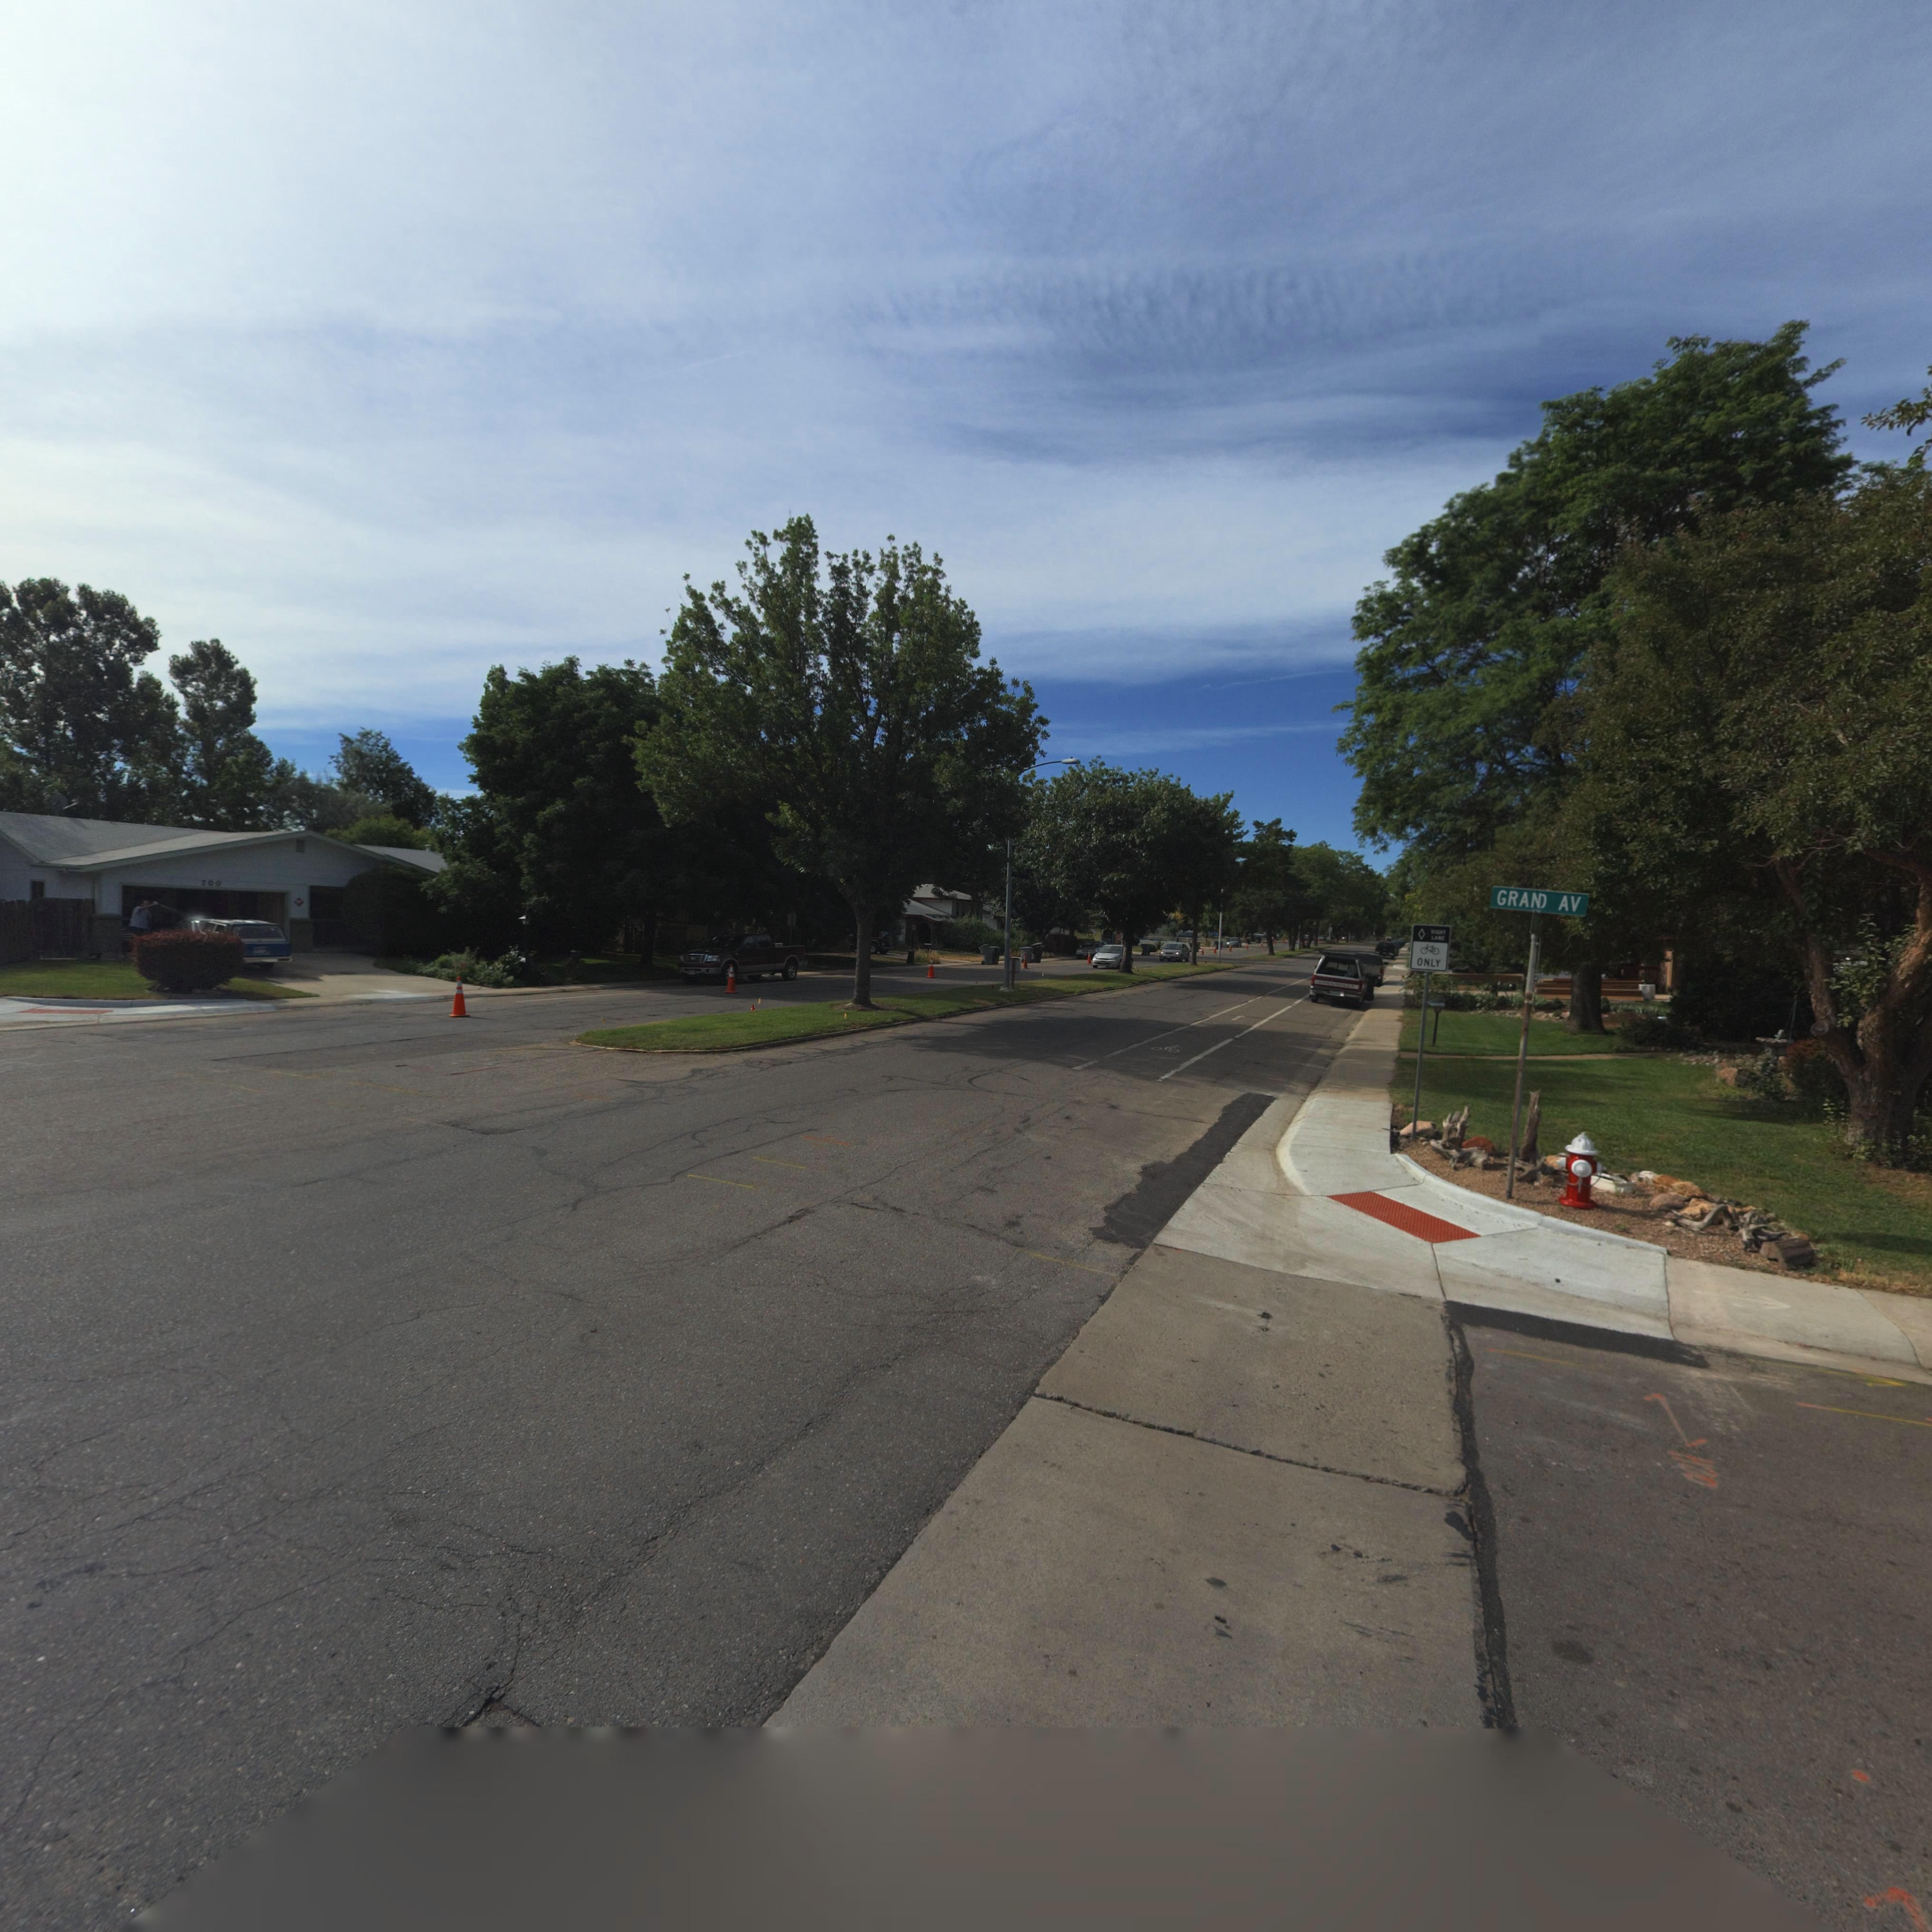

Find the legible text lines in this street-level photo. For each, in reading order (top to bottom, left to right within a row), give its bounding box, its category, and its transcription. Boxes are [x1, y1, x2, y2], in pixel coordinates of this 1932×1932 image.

[201, 880, 221, 887] StreetNumber: 700
[1496, 889, 1583, 913] StreetName: GRAND AV